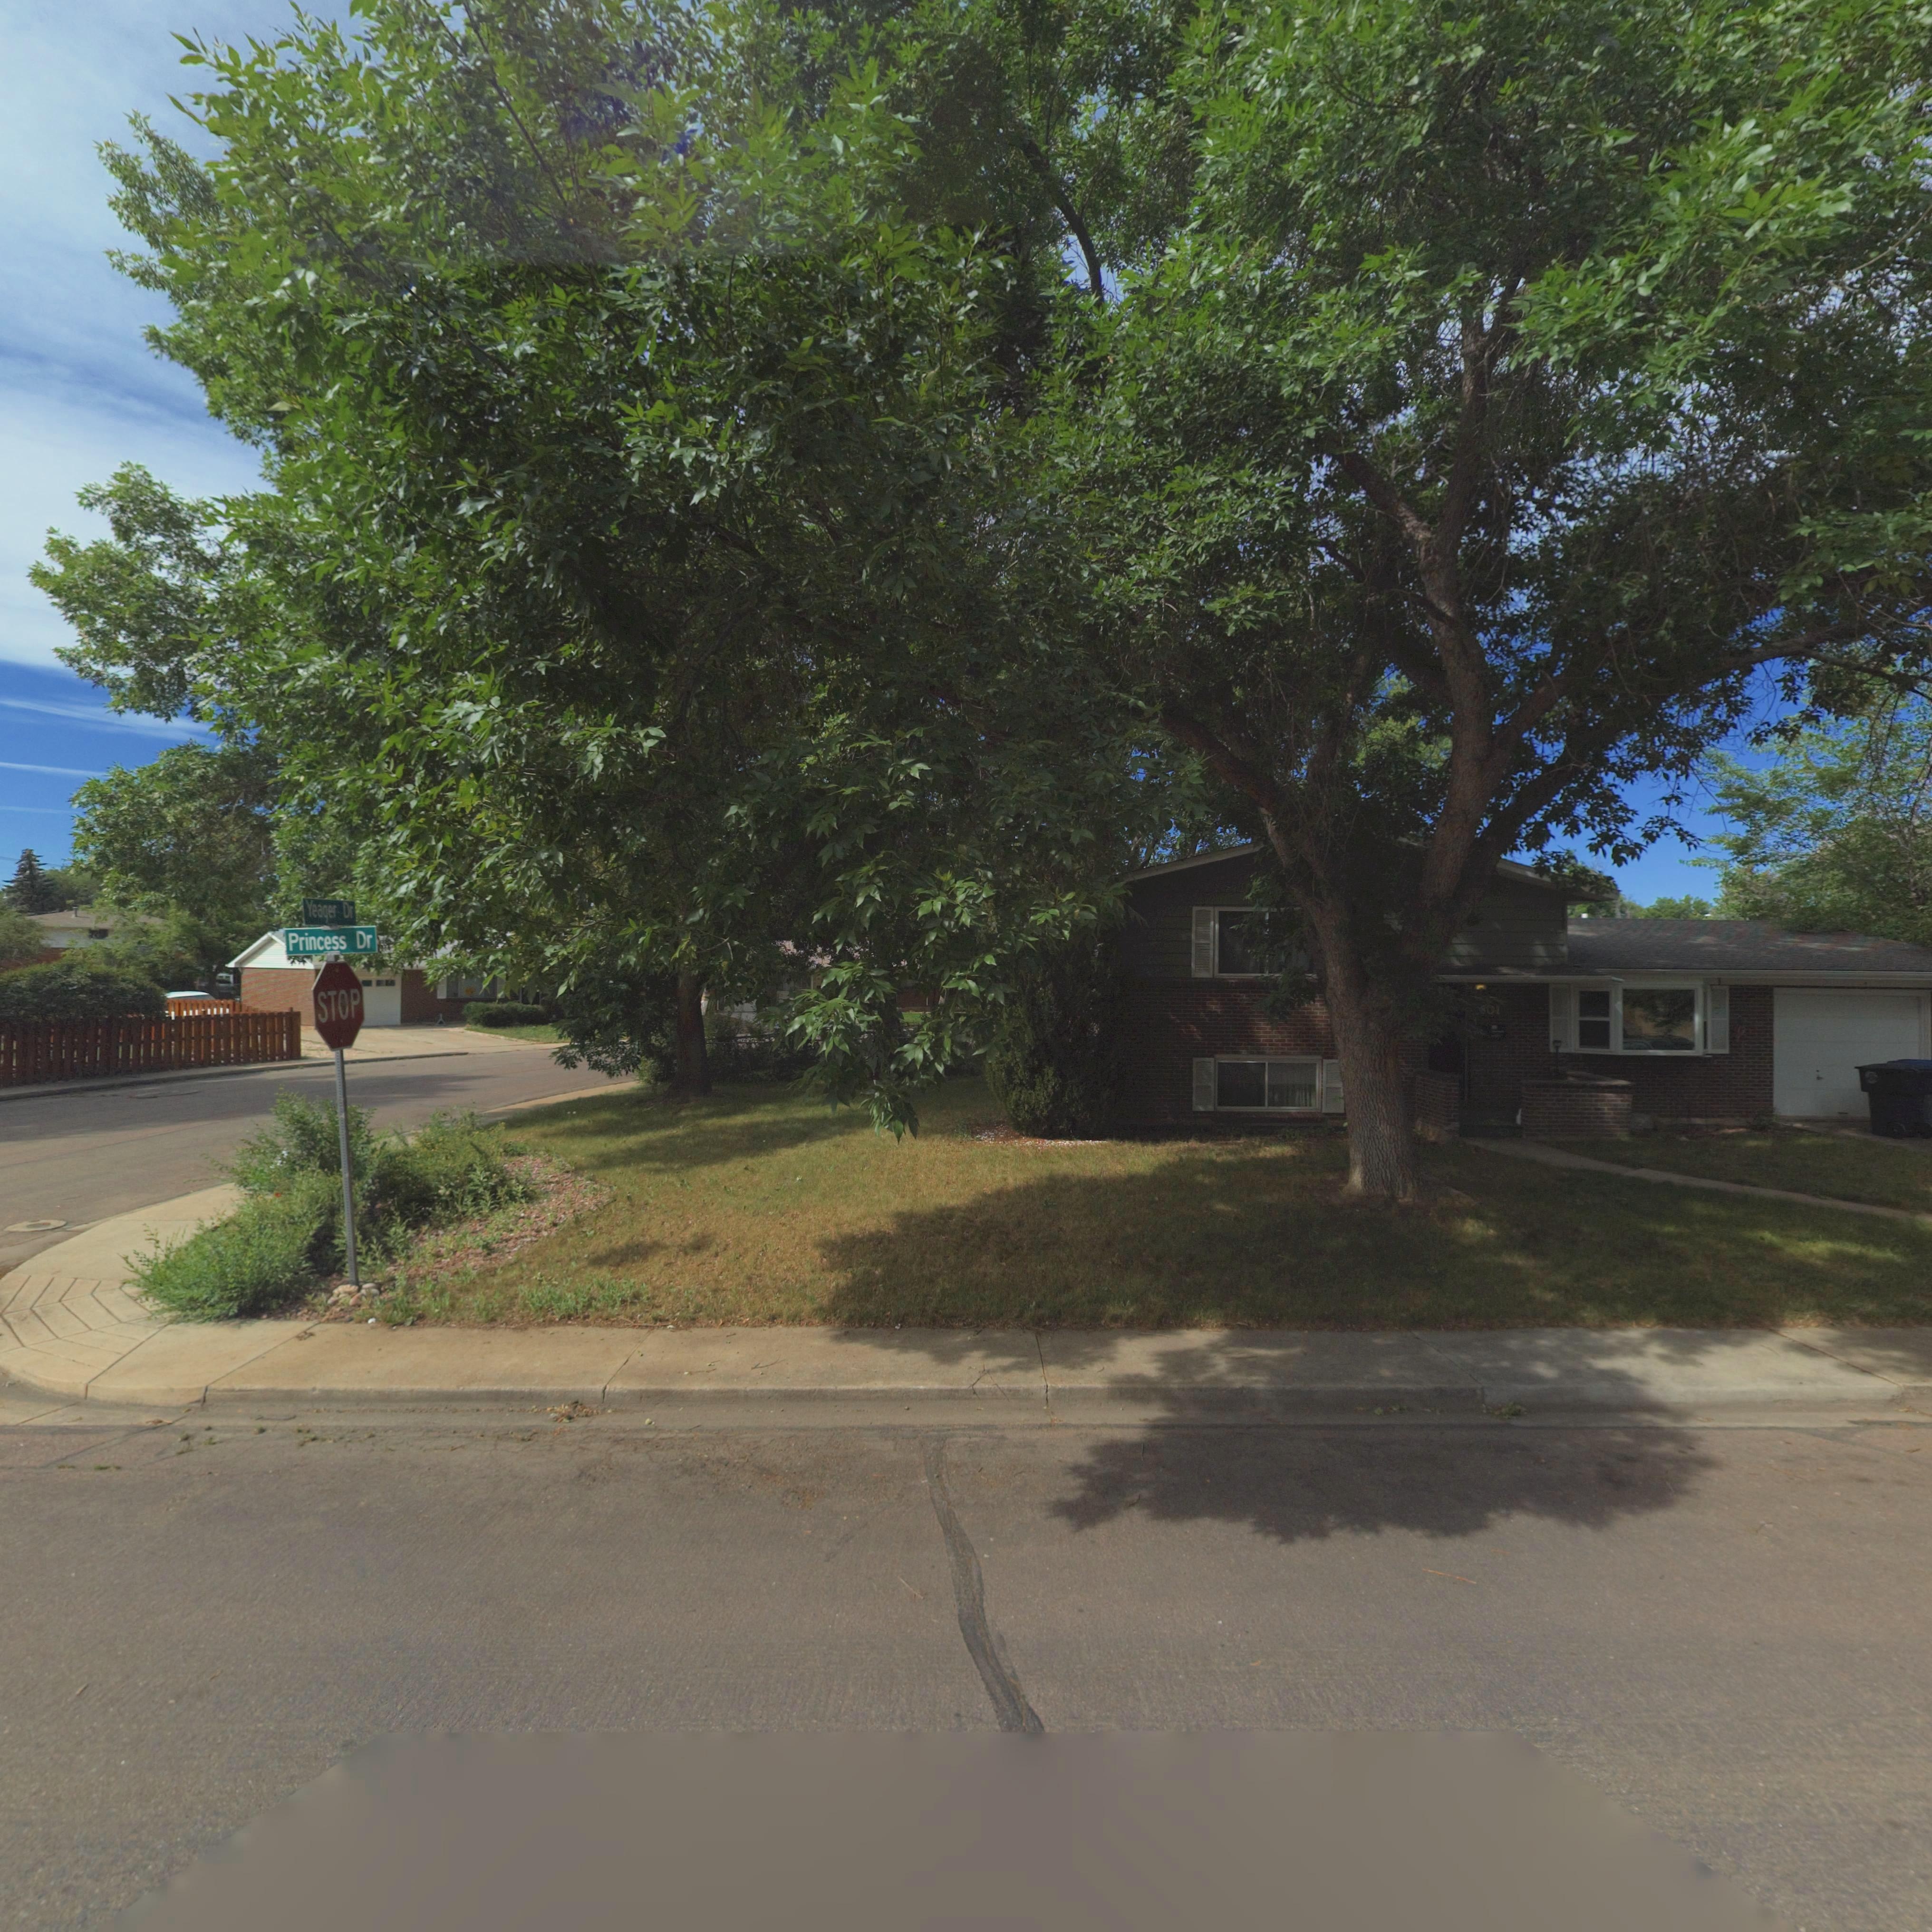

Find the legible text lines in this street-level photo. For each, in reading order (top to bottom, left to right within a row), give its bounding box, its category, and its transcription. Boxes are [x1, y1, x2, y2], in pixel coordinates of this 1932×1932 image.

[304, 899, 354, 924] StreetName: Yeager Dr
[288, 929, 374, 951] StreetName: Princess Dr
[1479, 1005, 1500, 1014] StreetNumber: *01